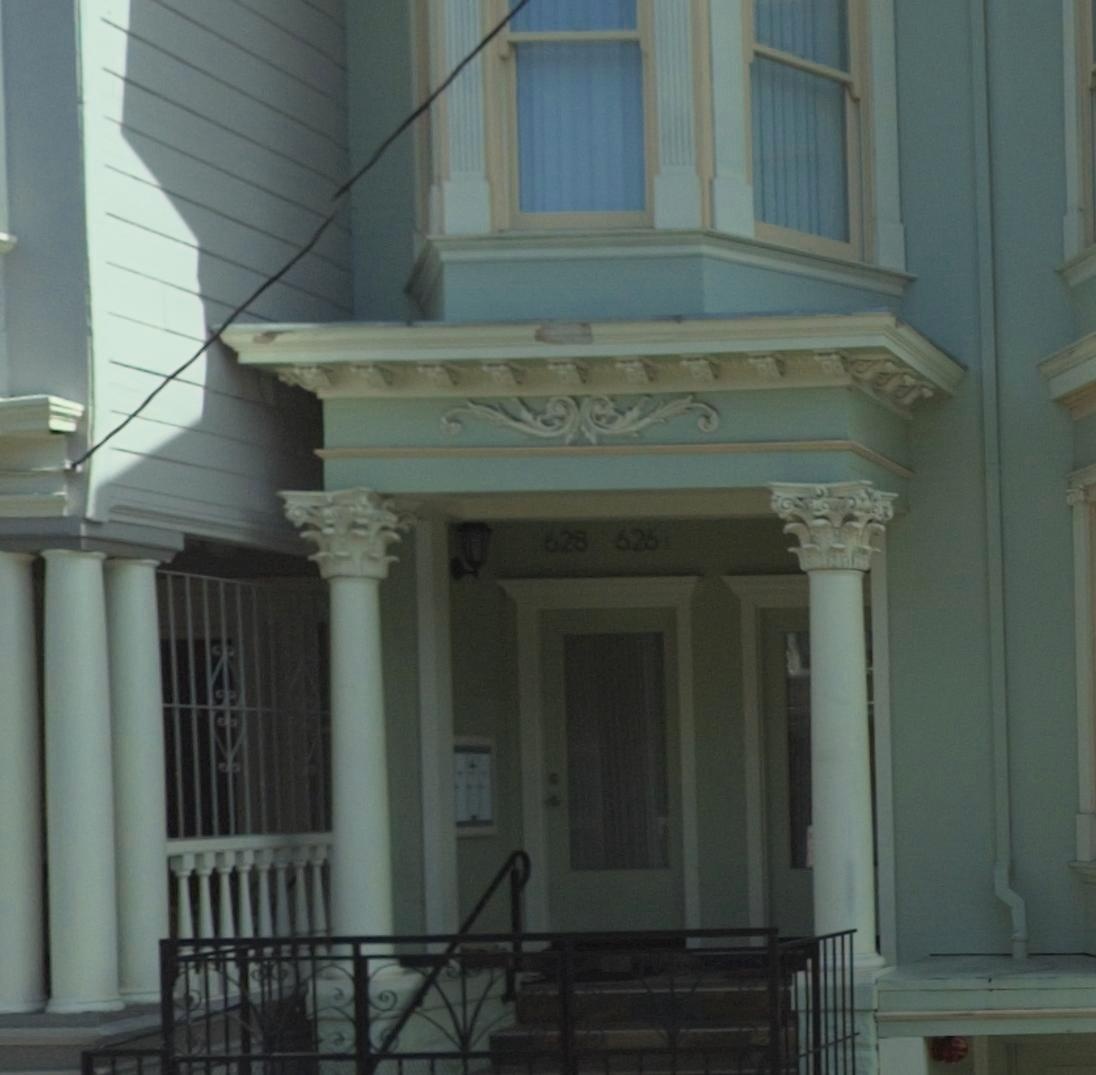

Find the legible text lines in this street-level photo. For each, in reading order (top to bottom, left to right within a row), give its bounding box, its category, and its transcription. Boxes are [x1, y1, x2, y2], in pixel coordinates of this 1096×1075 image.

[537, 525, 592, 556] StreetNumber: 628
[611, 524, 663, 556] None: 626